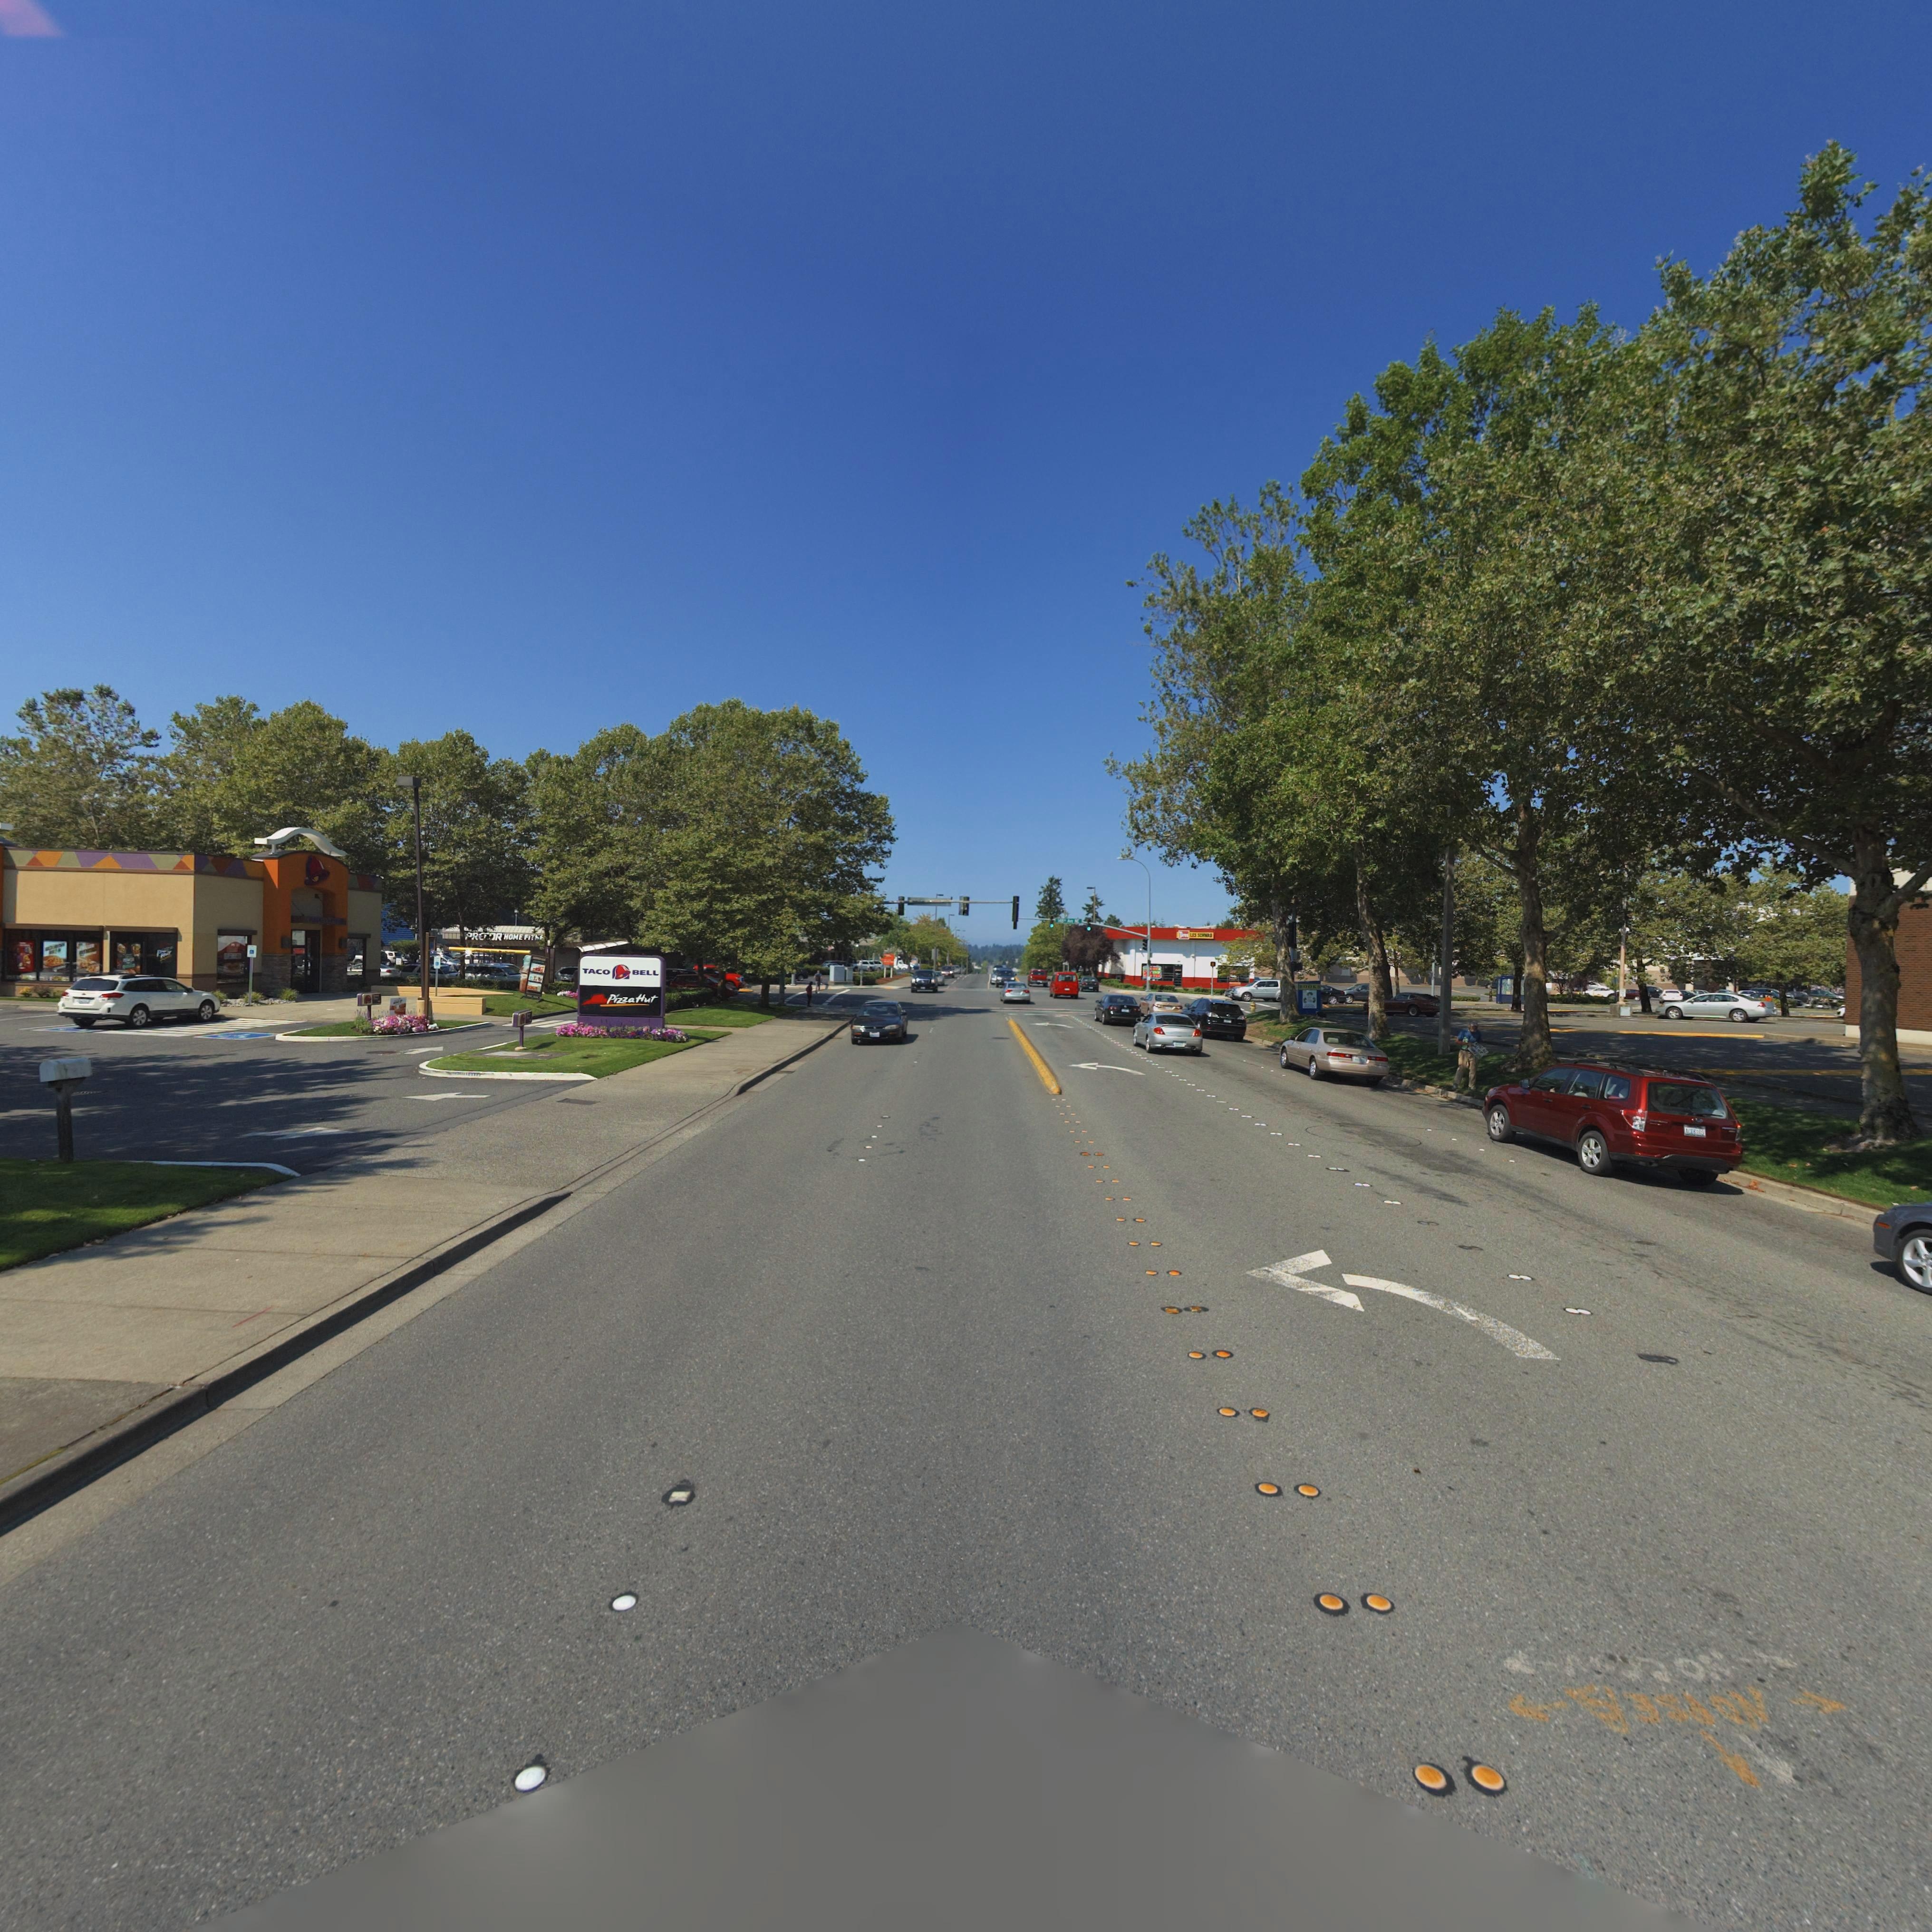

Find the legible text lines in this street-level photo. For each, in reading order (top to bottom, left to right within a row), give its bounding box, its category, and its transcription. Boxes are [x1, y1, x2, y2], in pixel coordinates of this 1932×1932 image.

[581, 968, 610, 975] BusinessName: TACO
[632, 969, 659, 976] BusinessName: BELL
[606, 993, 659, 1004] BusinessName: PizzaHut